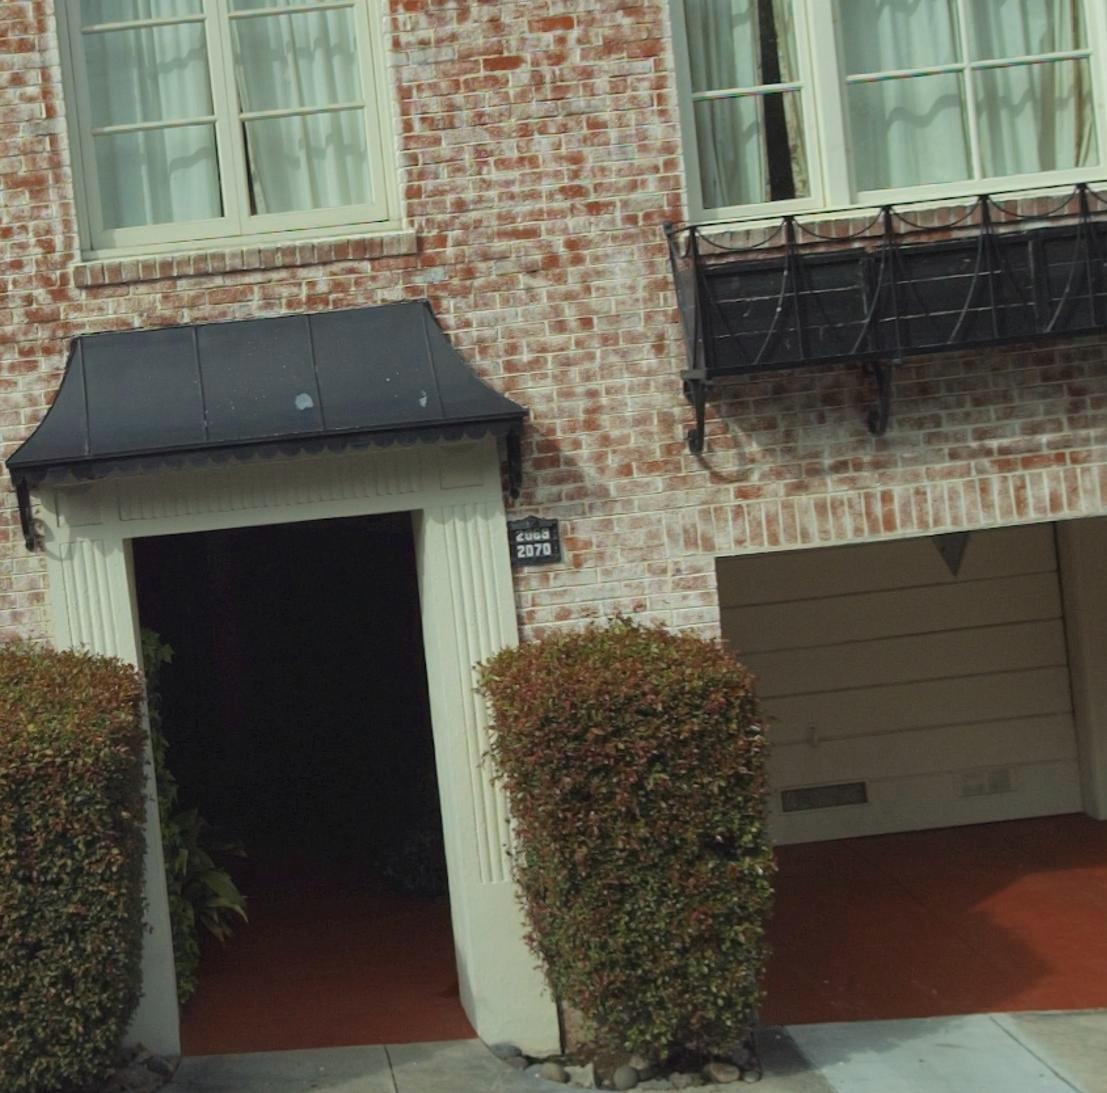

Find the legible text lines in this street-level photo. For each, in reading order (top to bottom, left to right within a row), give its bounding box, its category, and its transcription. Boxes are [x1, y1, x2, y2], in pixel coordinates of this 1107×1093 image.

[513, 524, 553, 545] StreetNumber: 206*
[514, 540, 556, 561] StreetNumber: 2070